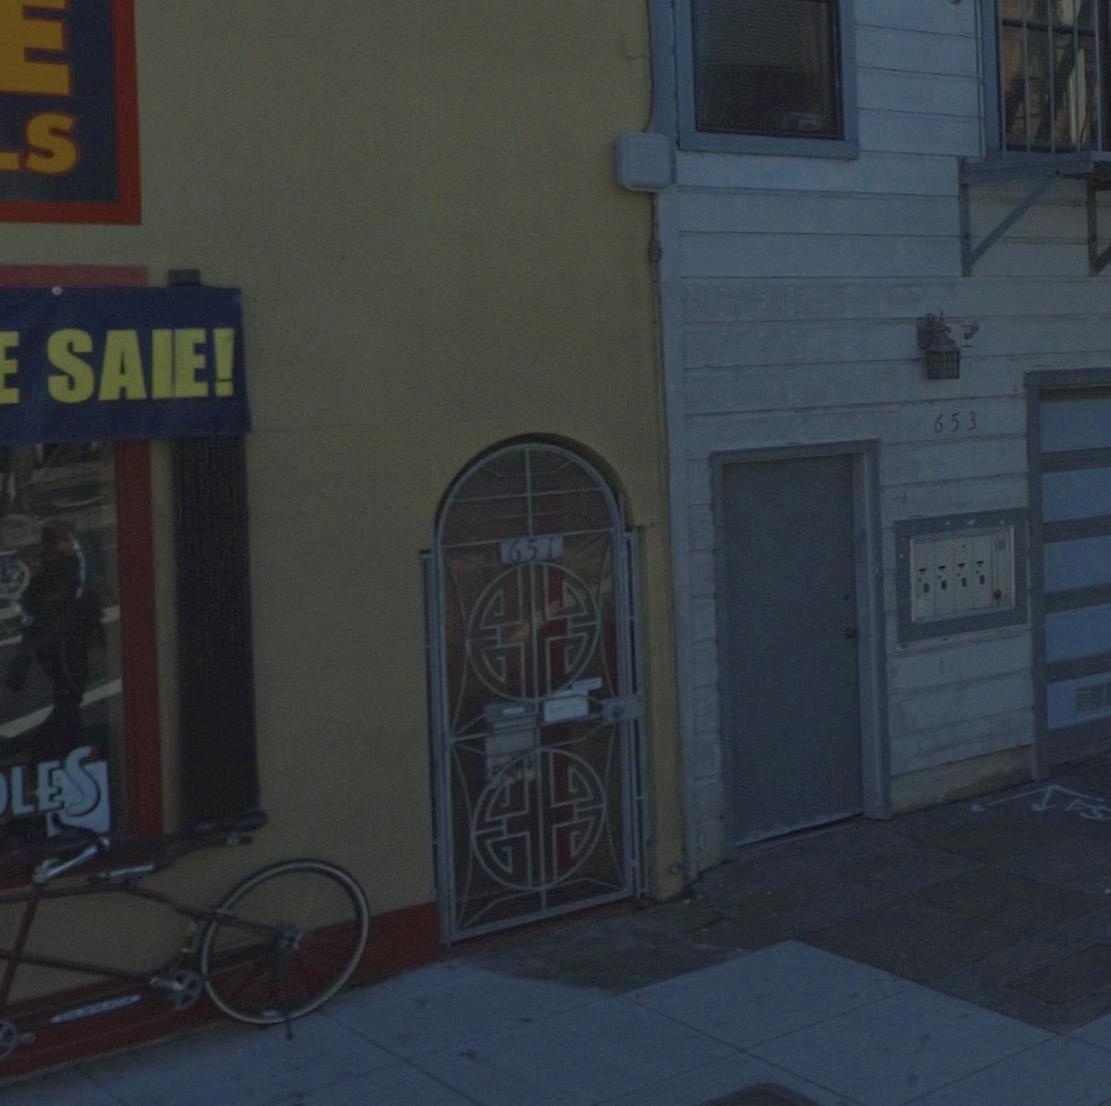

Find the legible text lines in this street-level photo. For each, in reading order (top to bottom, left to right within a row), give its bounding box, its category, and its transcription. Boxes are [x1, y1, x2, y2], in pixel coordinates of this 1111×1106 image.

[16, 107, 90, 179] None: S
[38, 320, 252, 409] None: SALE!
[931, 410, 978, 435] StreetNumber: 653
[508, 535, 557, 564] StreetNumber: 651
[7, 740, 105, 822] None: LES